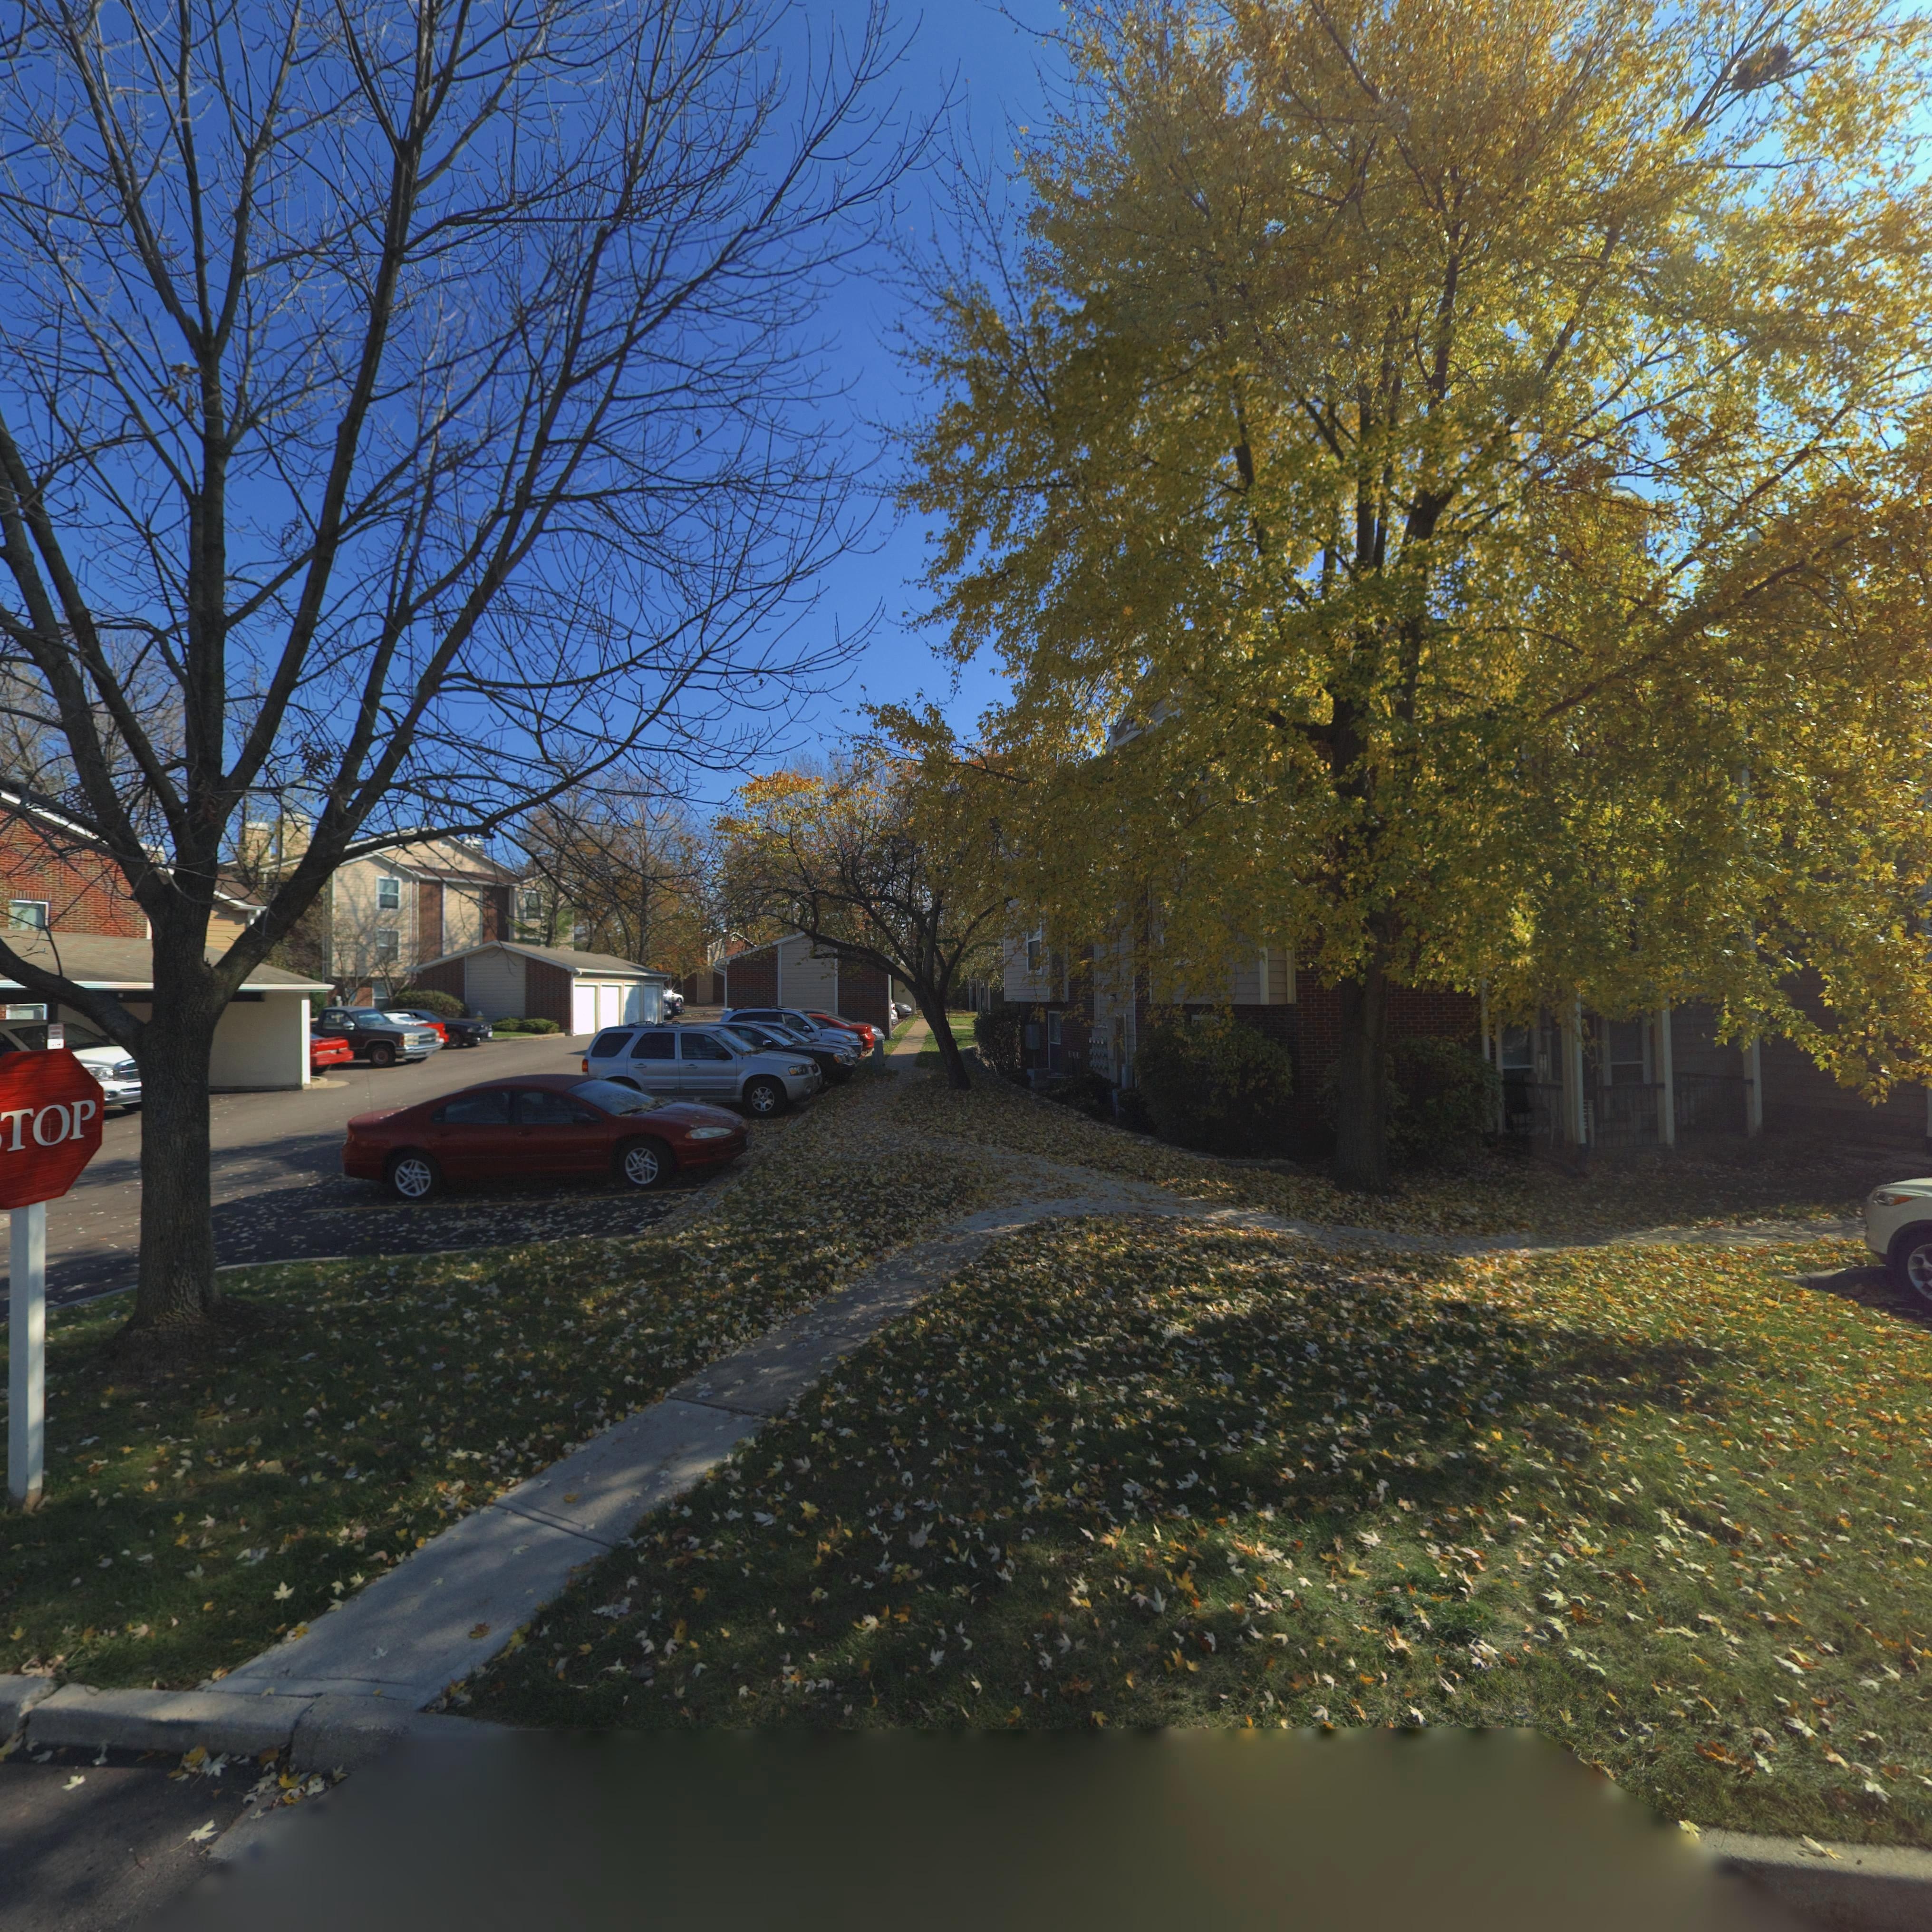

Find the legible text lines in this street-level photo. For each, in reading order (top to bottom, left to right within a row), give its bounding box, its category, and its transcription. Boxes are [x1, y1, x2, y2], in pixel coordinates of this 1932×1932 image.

[0, 1097, 97, 1153] None: TOP